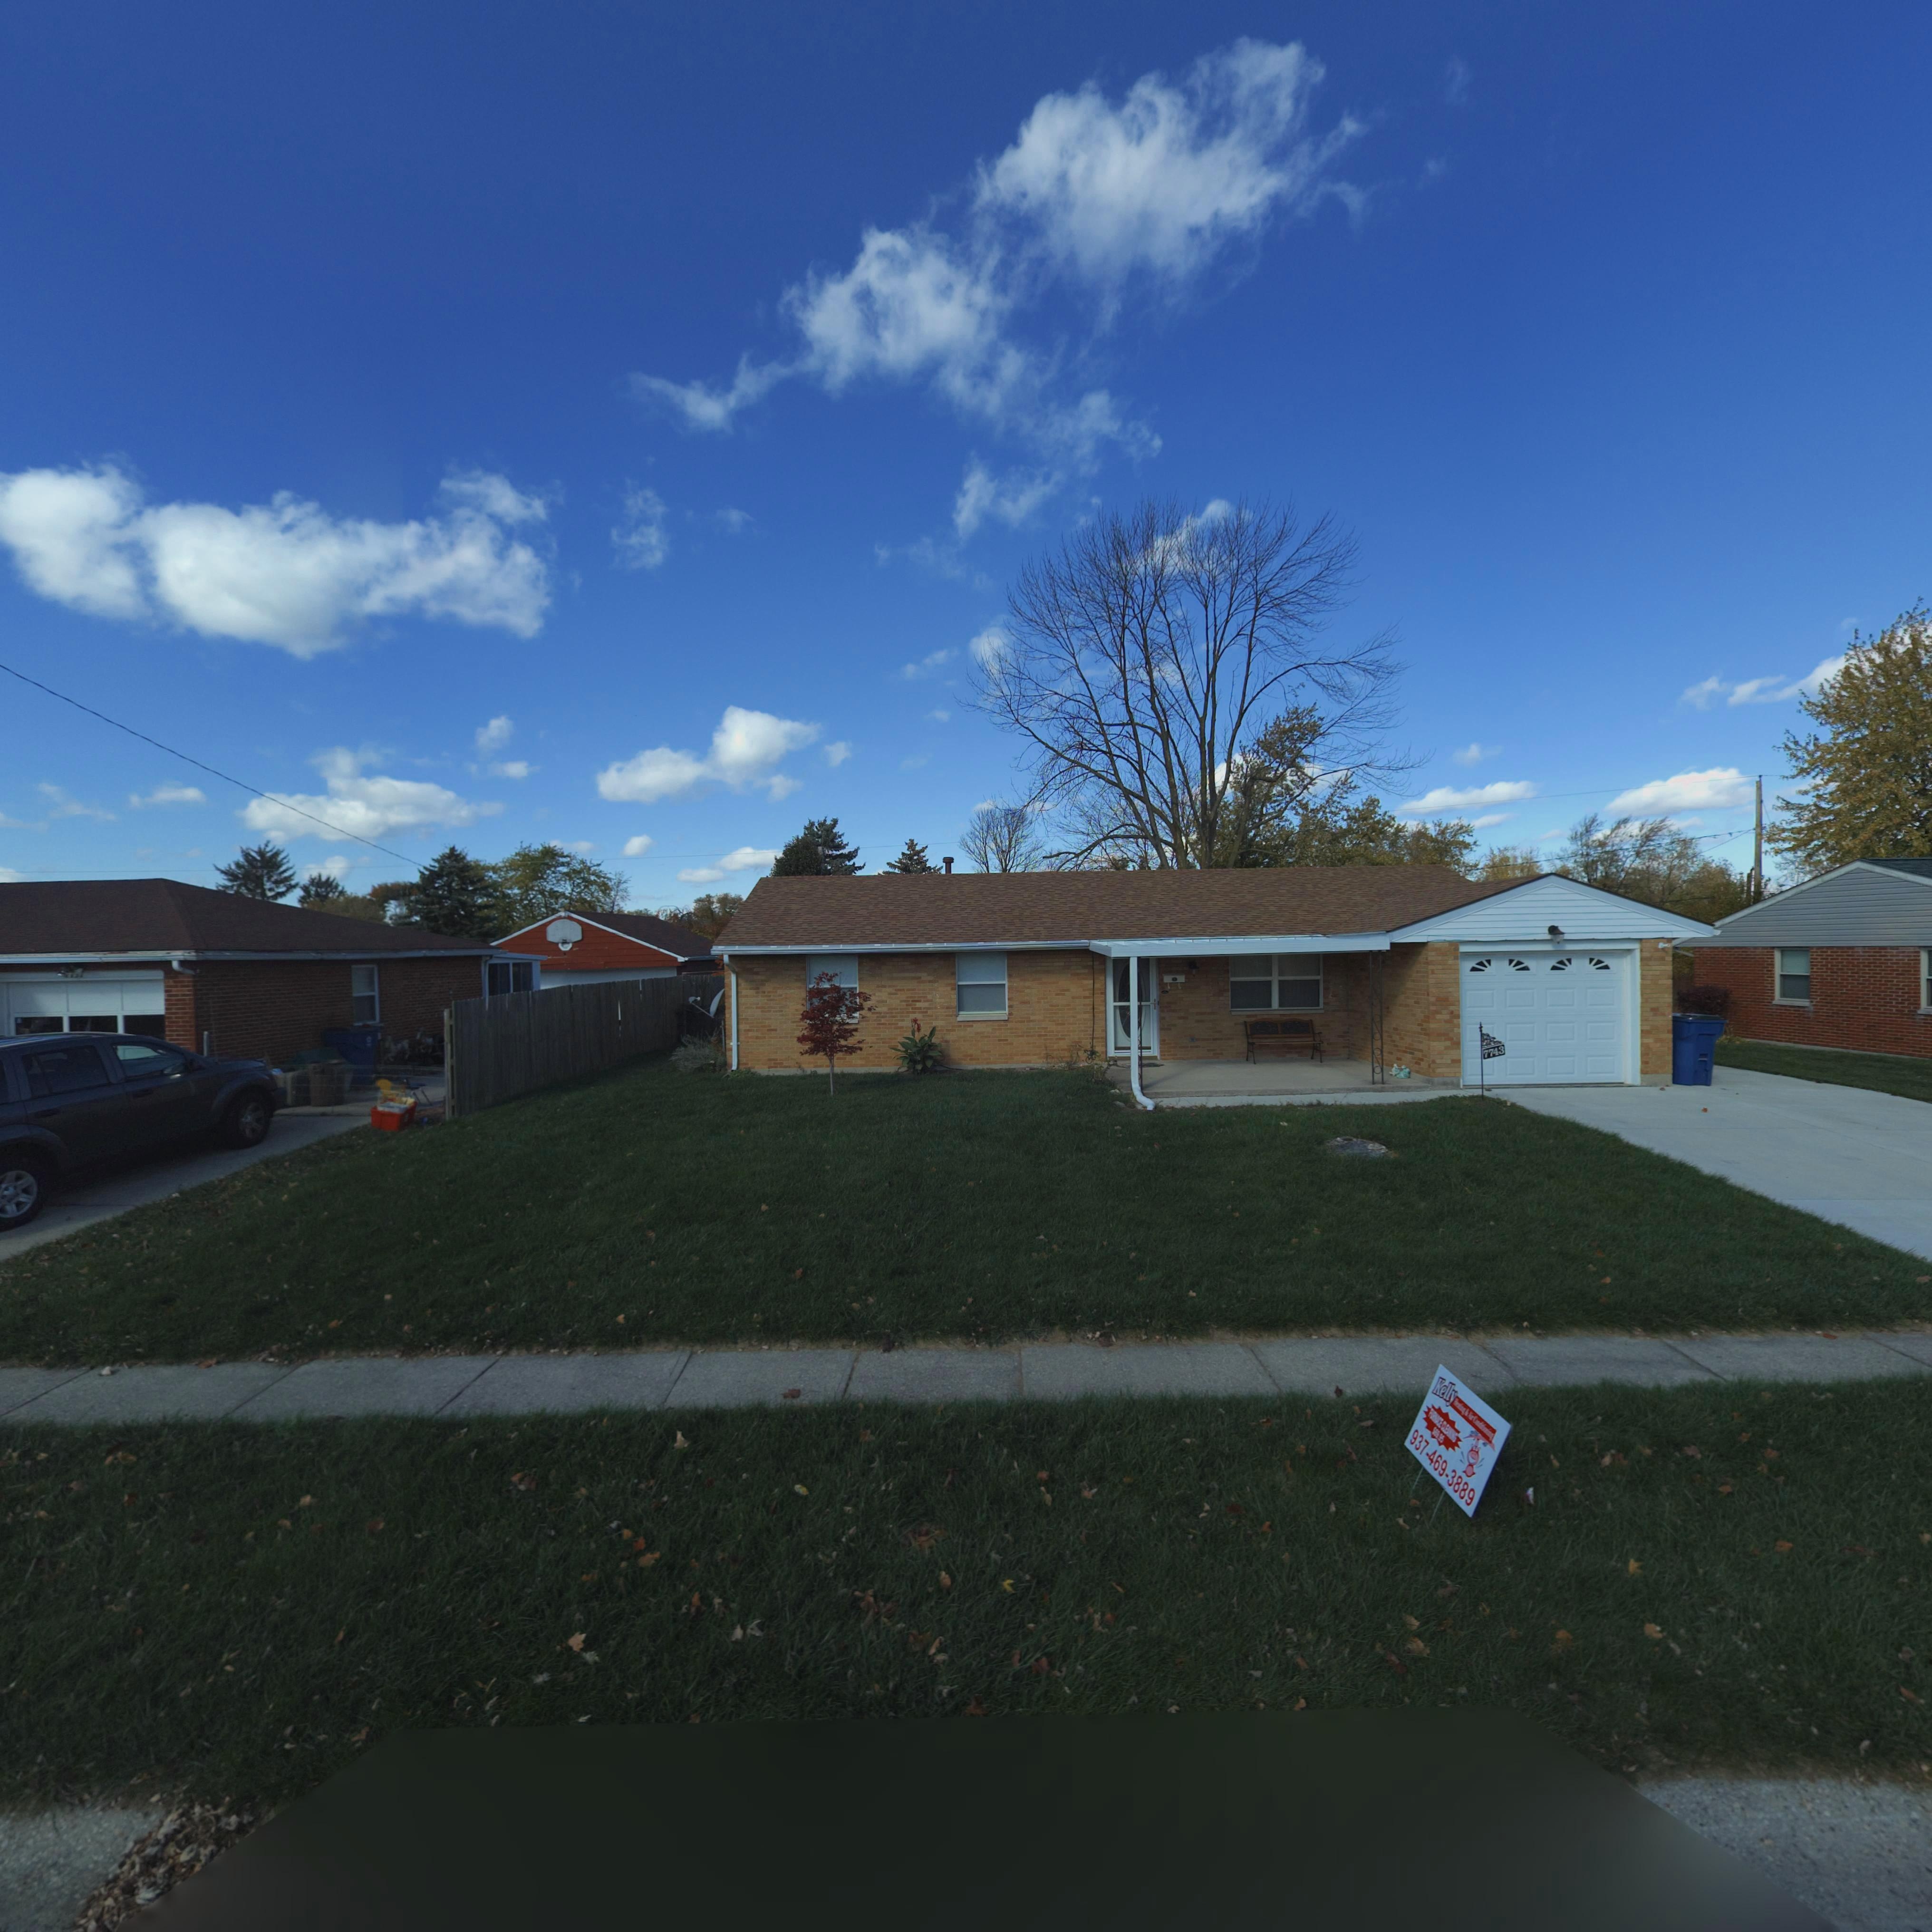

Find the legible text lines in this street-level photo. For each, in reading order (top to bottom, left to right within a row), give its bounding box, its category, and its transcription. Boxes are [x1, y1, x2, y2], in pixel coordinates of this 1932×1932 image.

[1483, 1045, 1505, 1059] StreetNumber: 7743